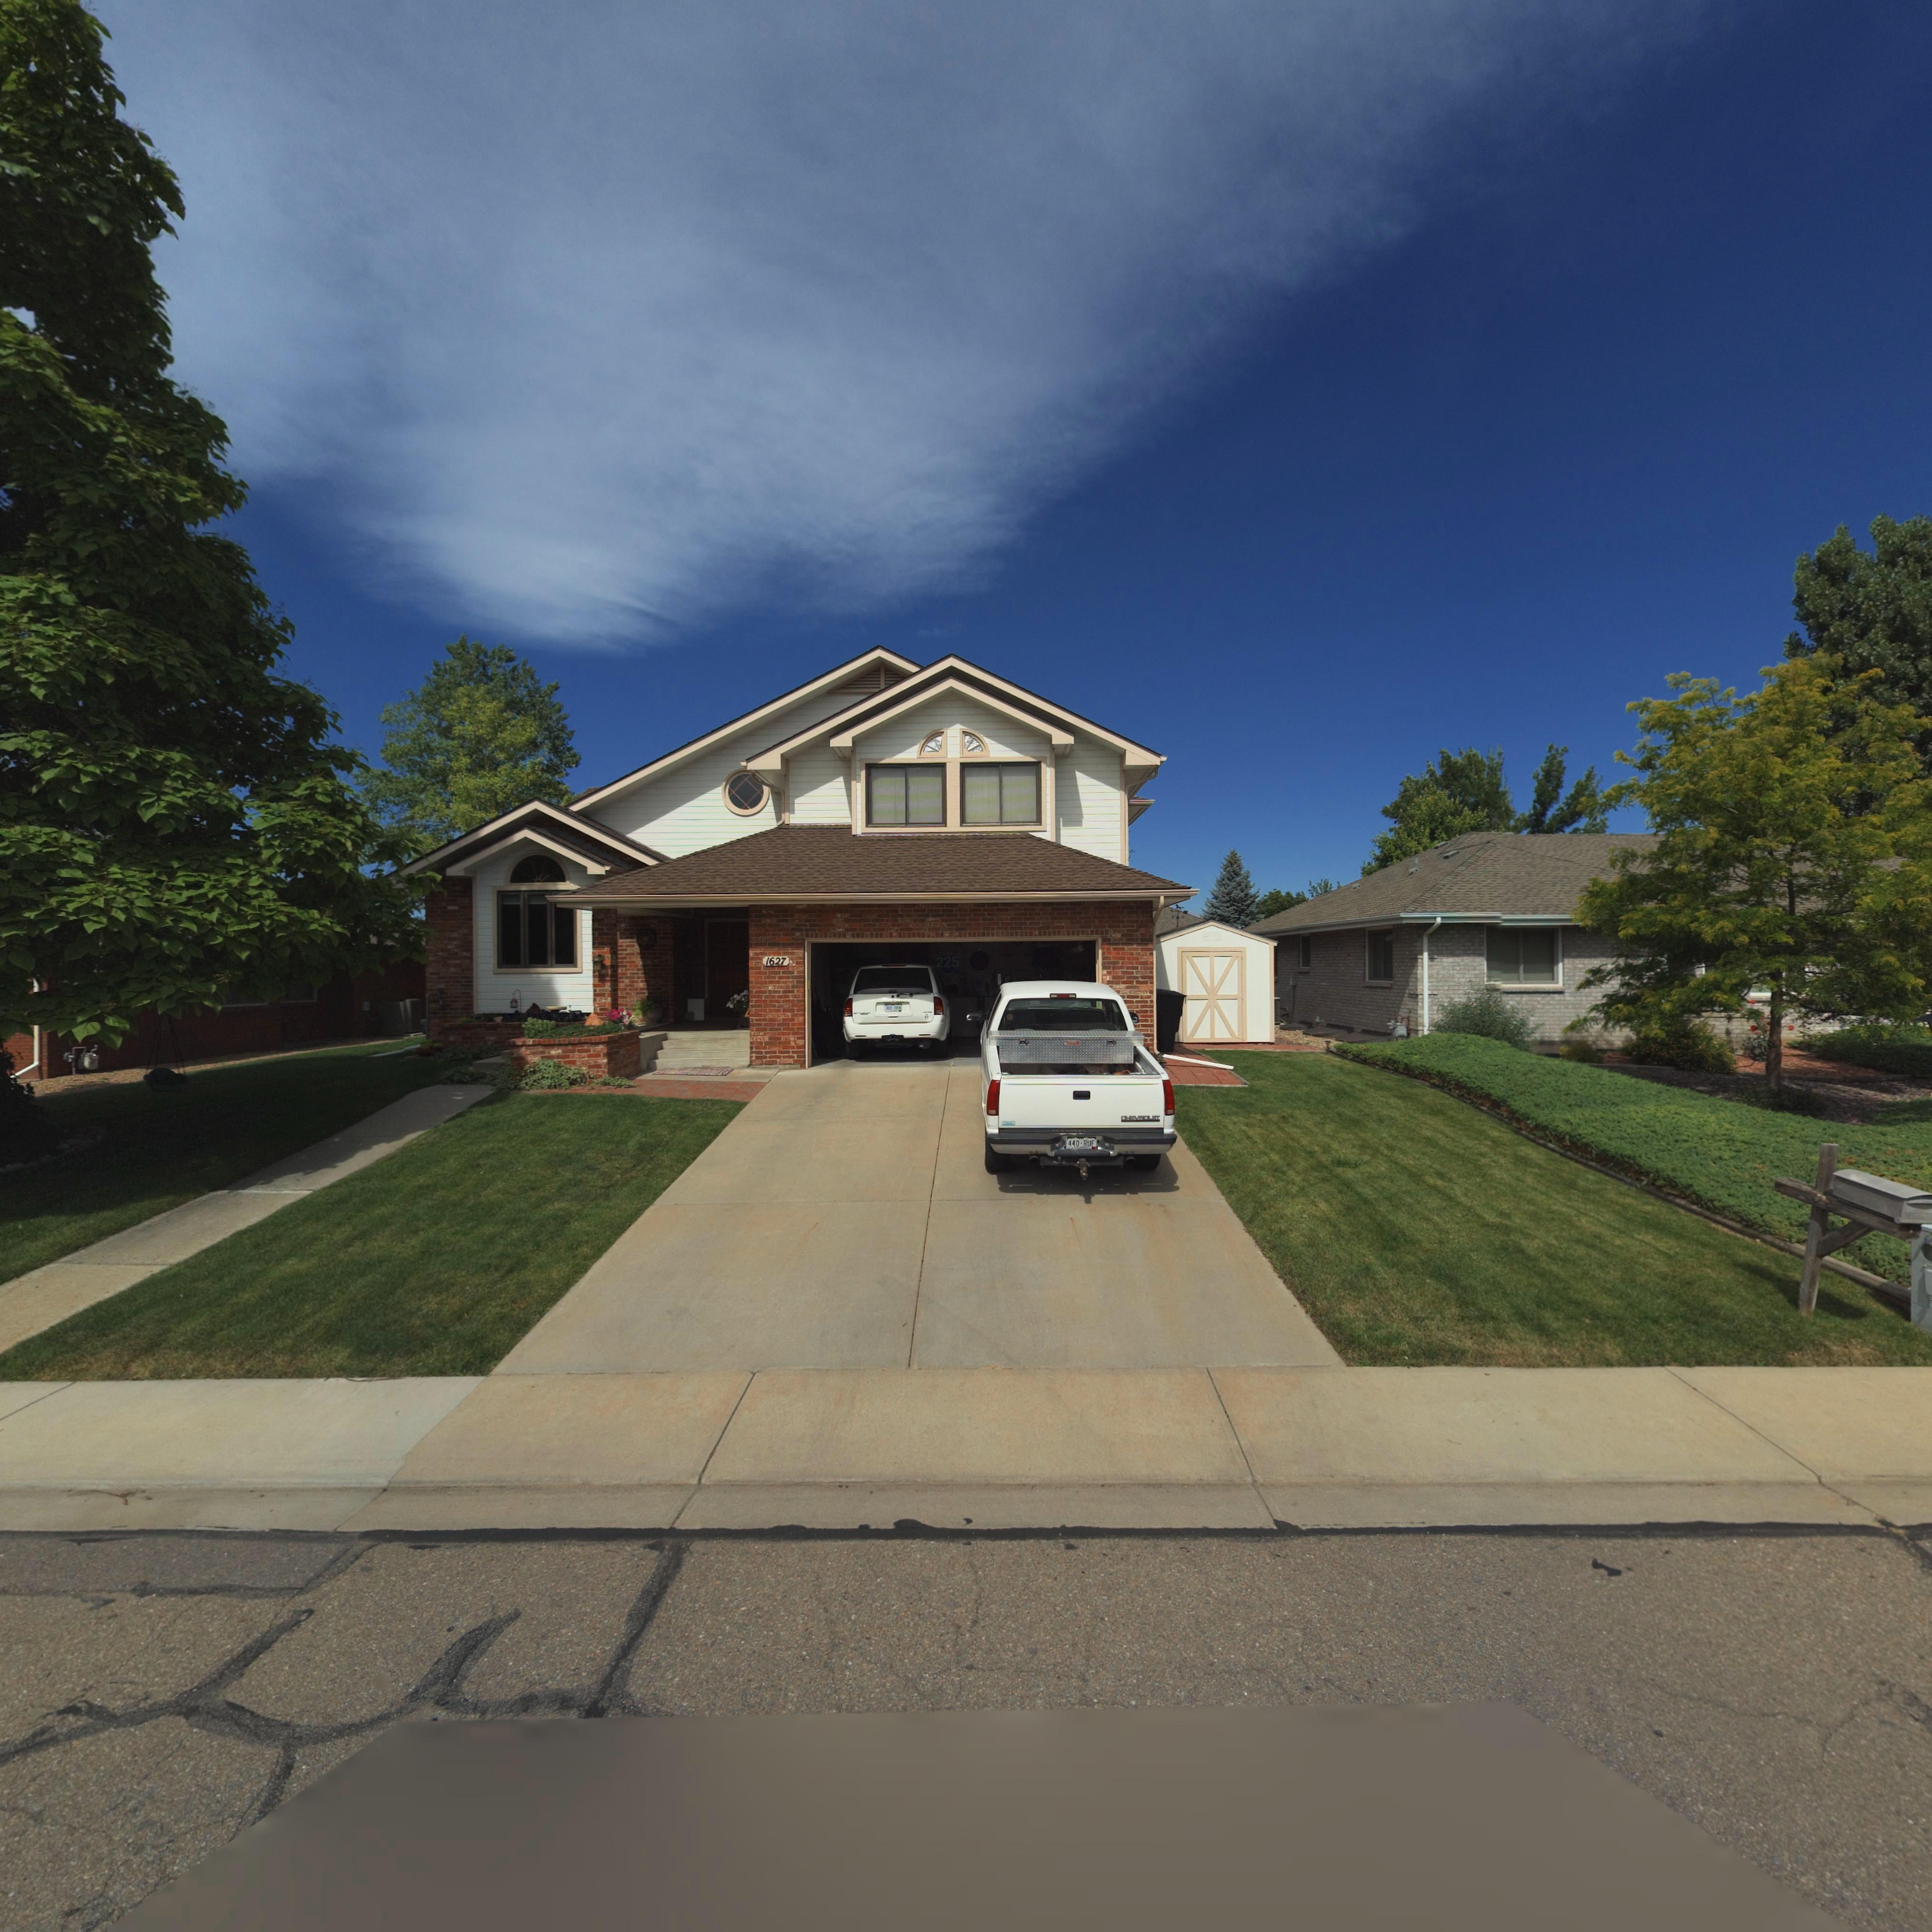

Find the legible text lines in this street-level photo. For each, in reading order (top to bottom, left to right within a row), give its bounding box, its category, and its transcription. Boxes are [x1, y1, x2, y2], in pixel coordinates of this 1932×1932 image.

[764, 956, 787, 966] StreetNumber: 1627